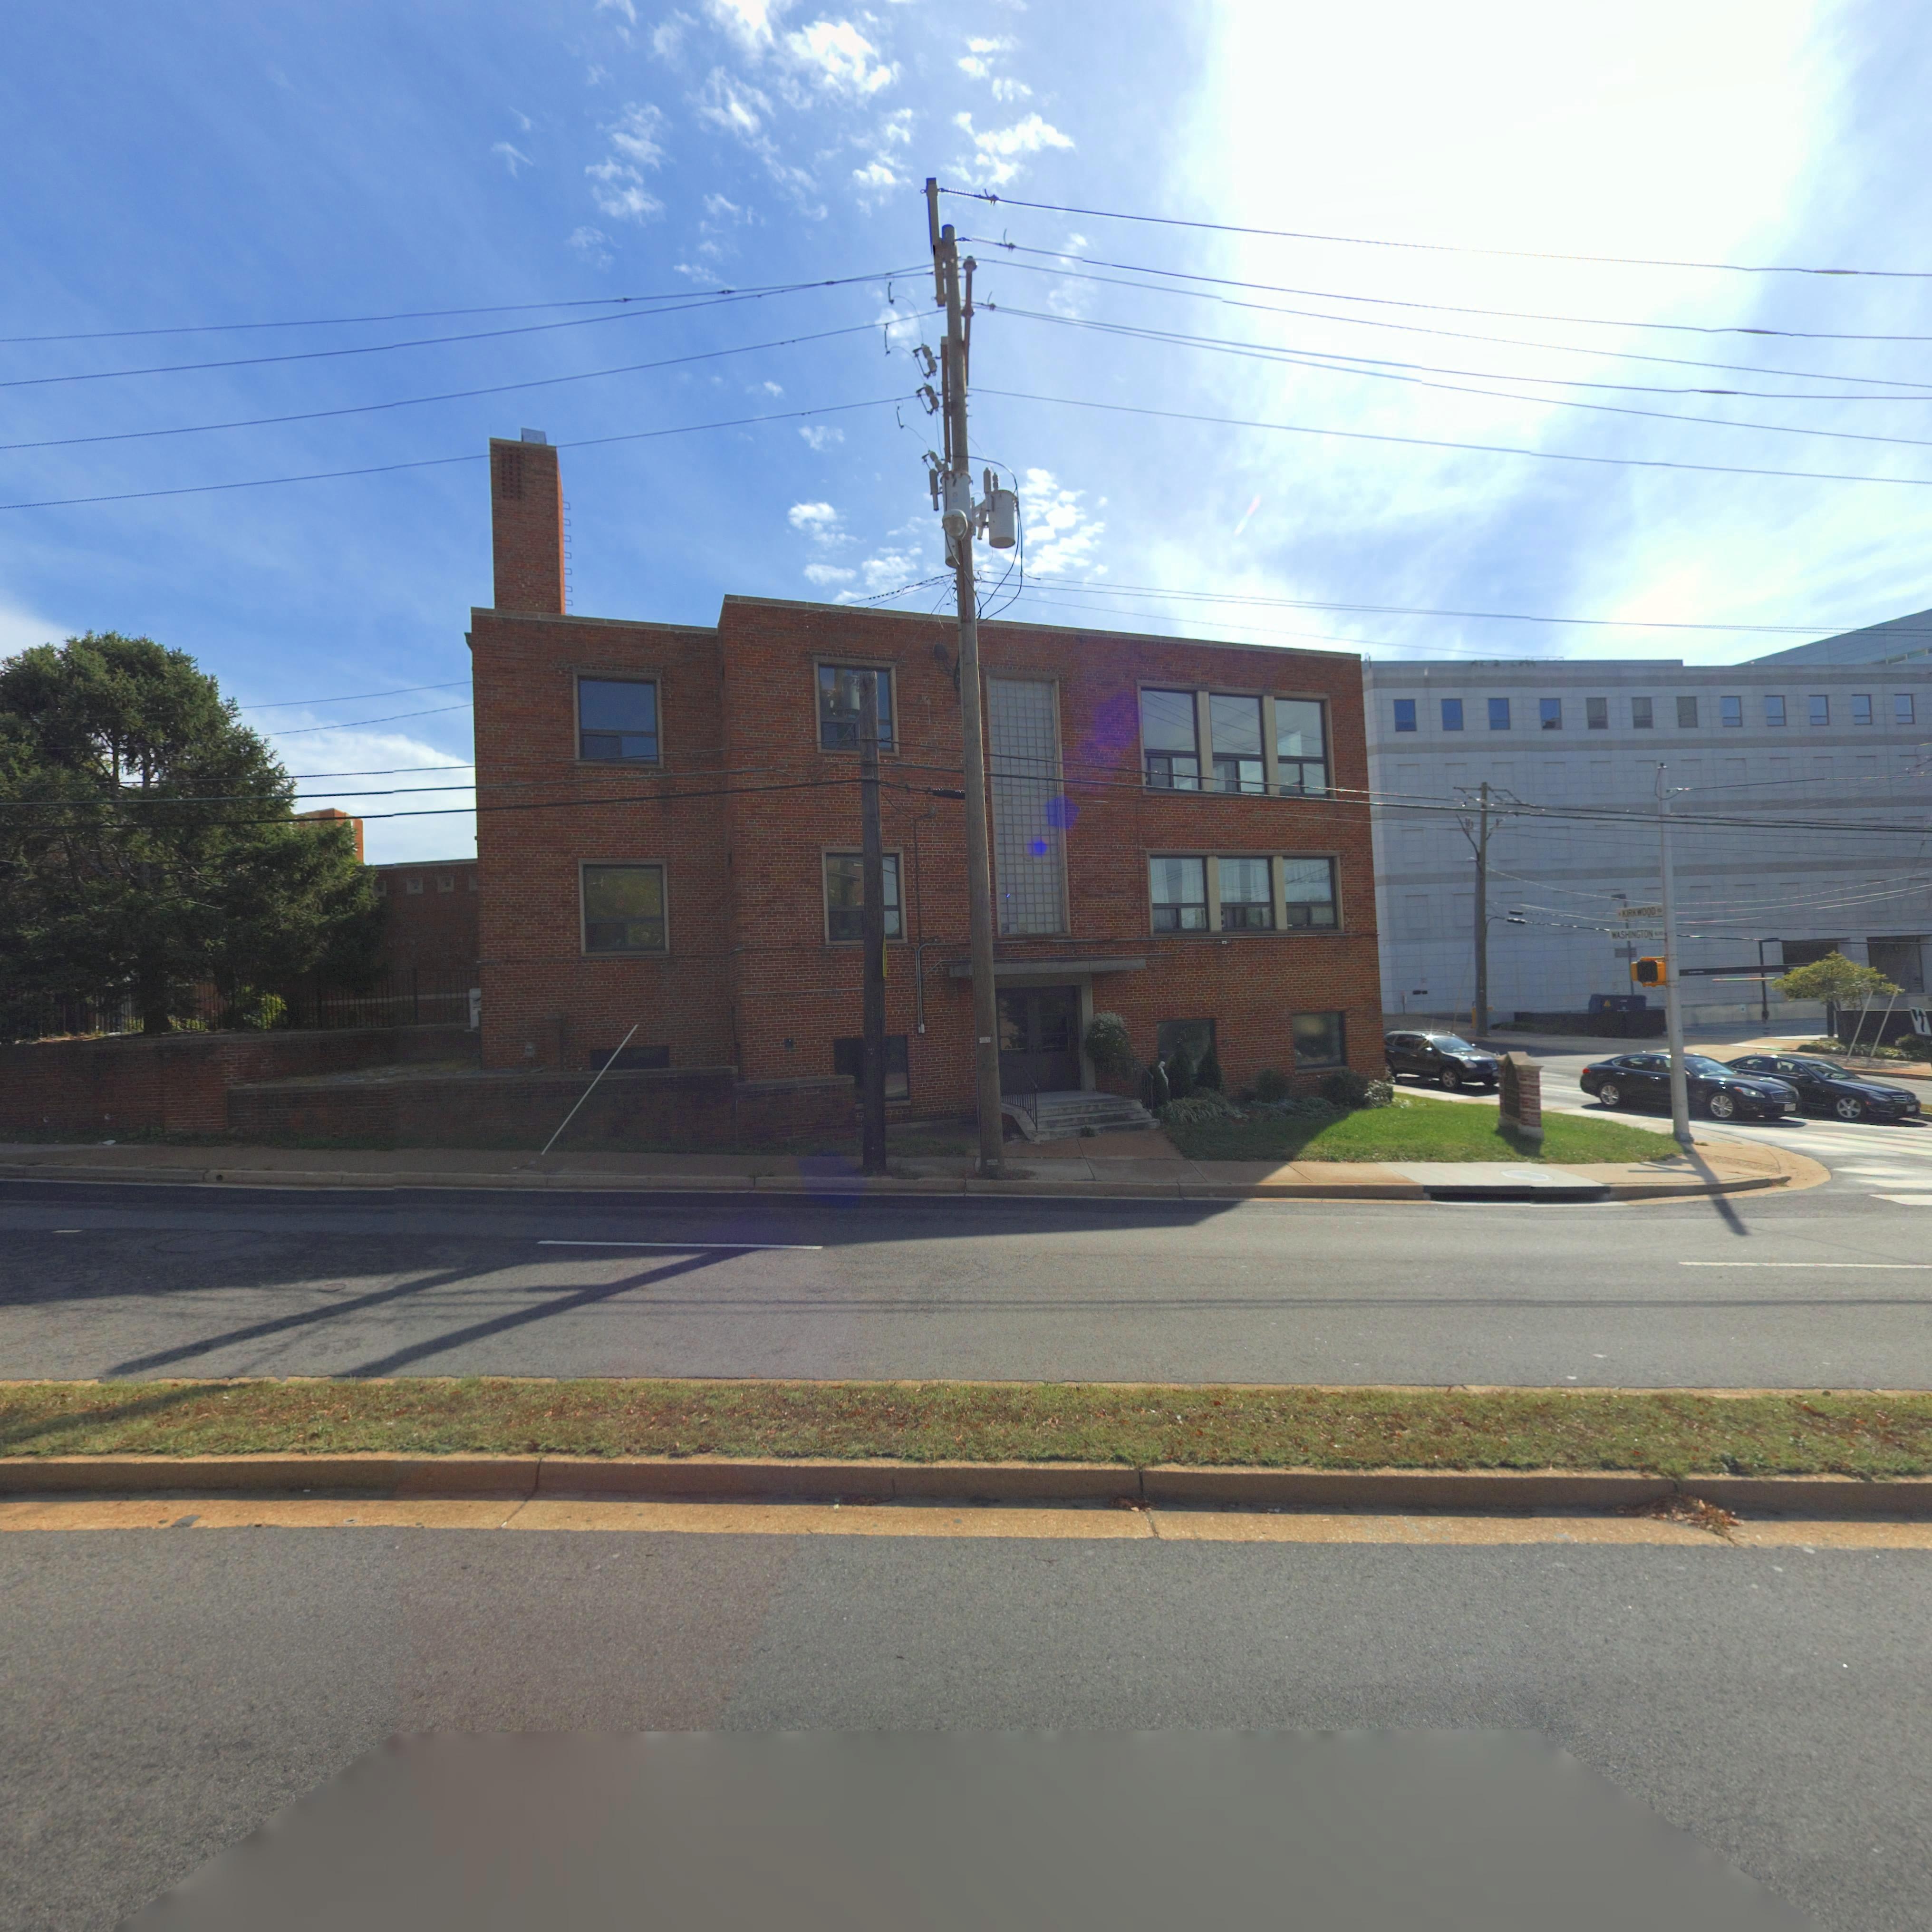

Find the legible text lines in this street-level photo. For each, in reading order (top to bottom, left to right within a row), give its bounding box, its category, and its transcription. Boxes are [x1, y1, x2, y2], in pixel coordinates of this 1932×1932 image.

[1621, 907, 1657, 918] StreetName: KIRKWOOD
[1610, 929, 1654, 939] StreetName: WASHINGTON